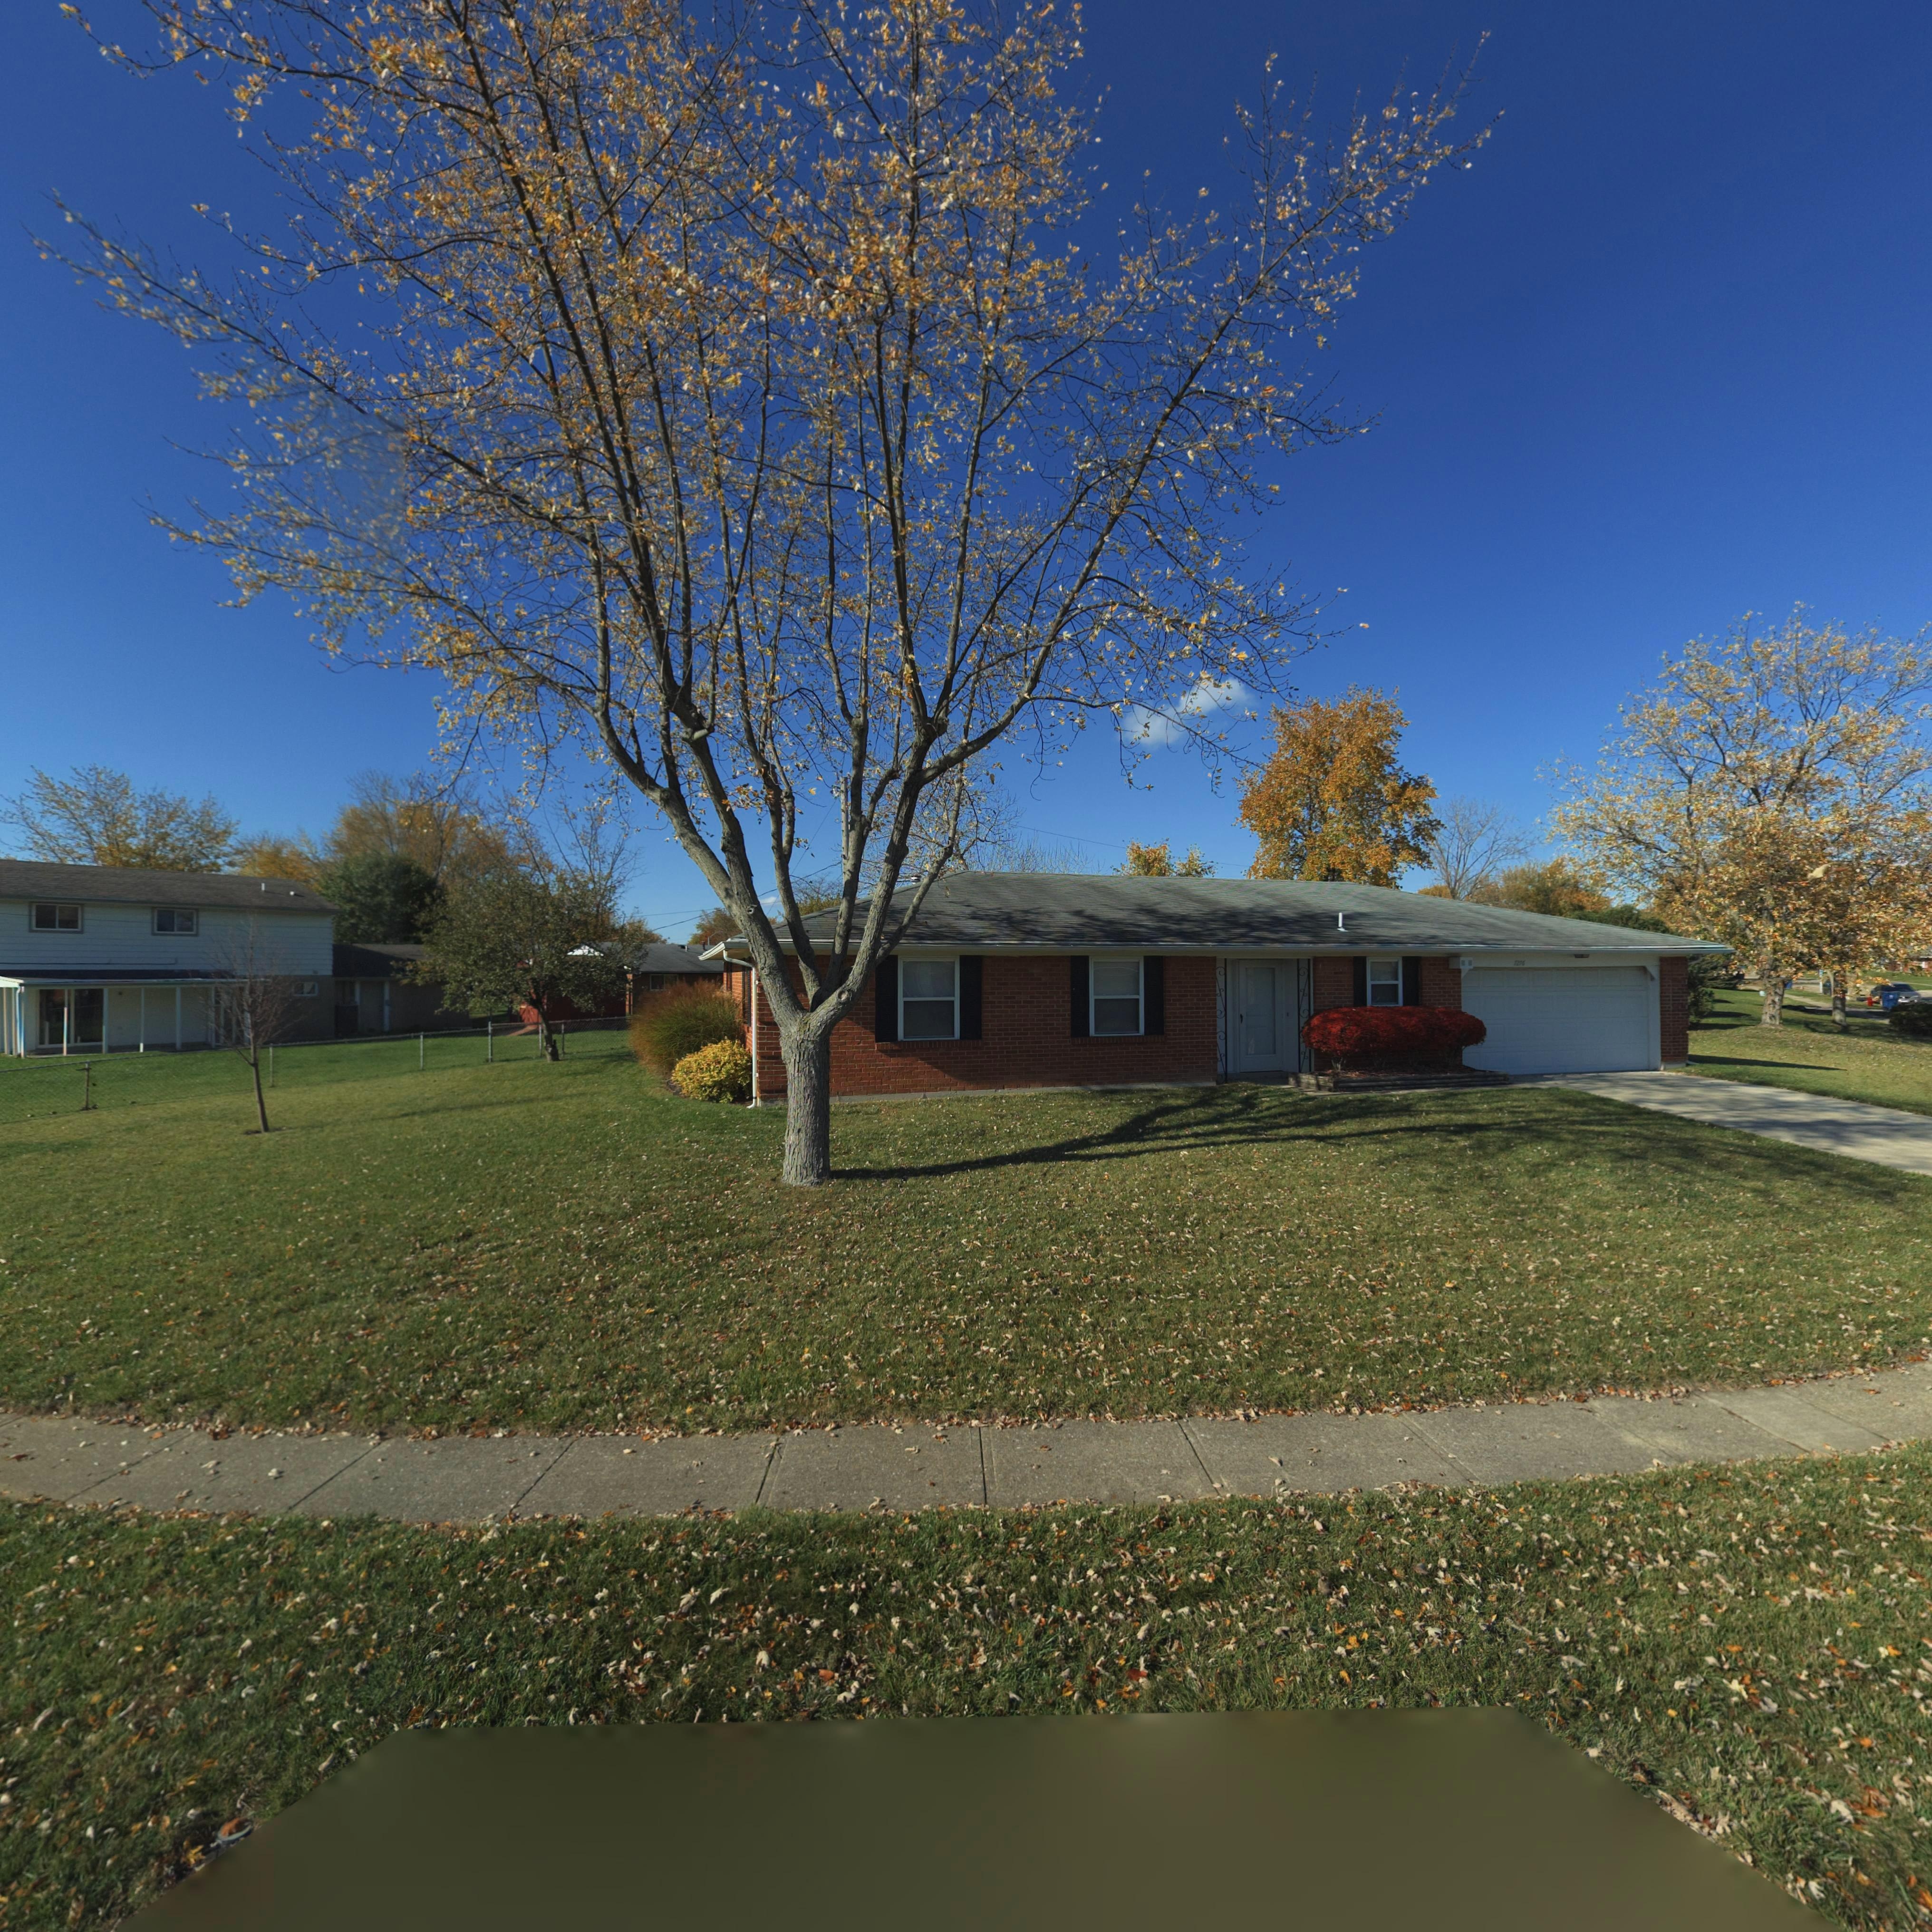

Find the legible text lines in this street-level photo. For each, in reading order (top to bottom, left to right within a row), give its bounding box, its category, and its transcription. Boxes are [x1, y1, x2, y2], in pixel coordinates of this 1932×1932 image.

[1512, 959, 1526, 967] StreetNumber: ***6